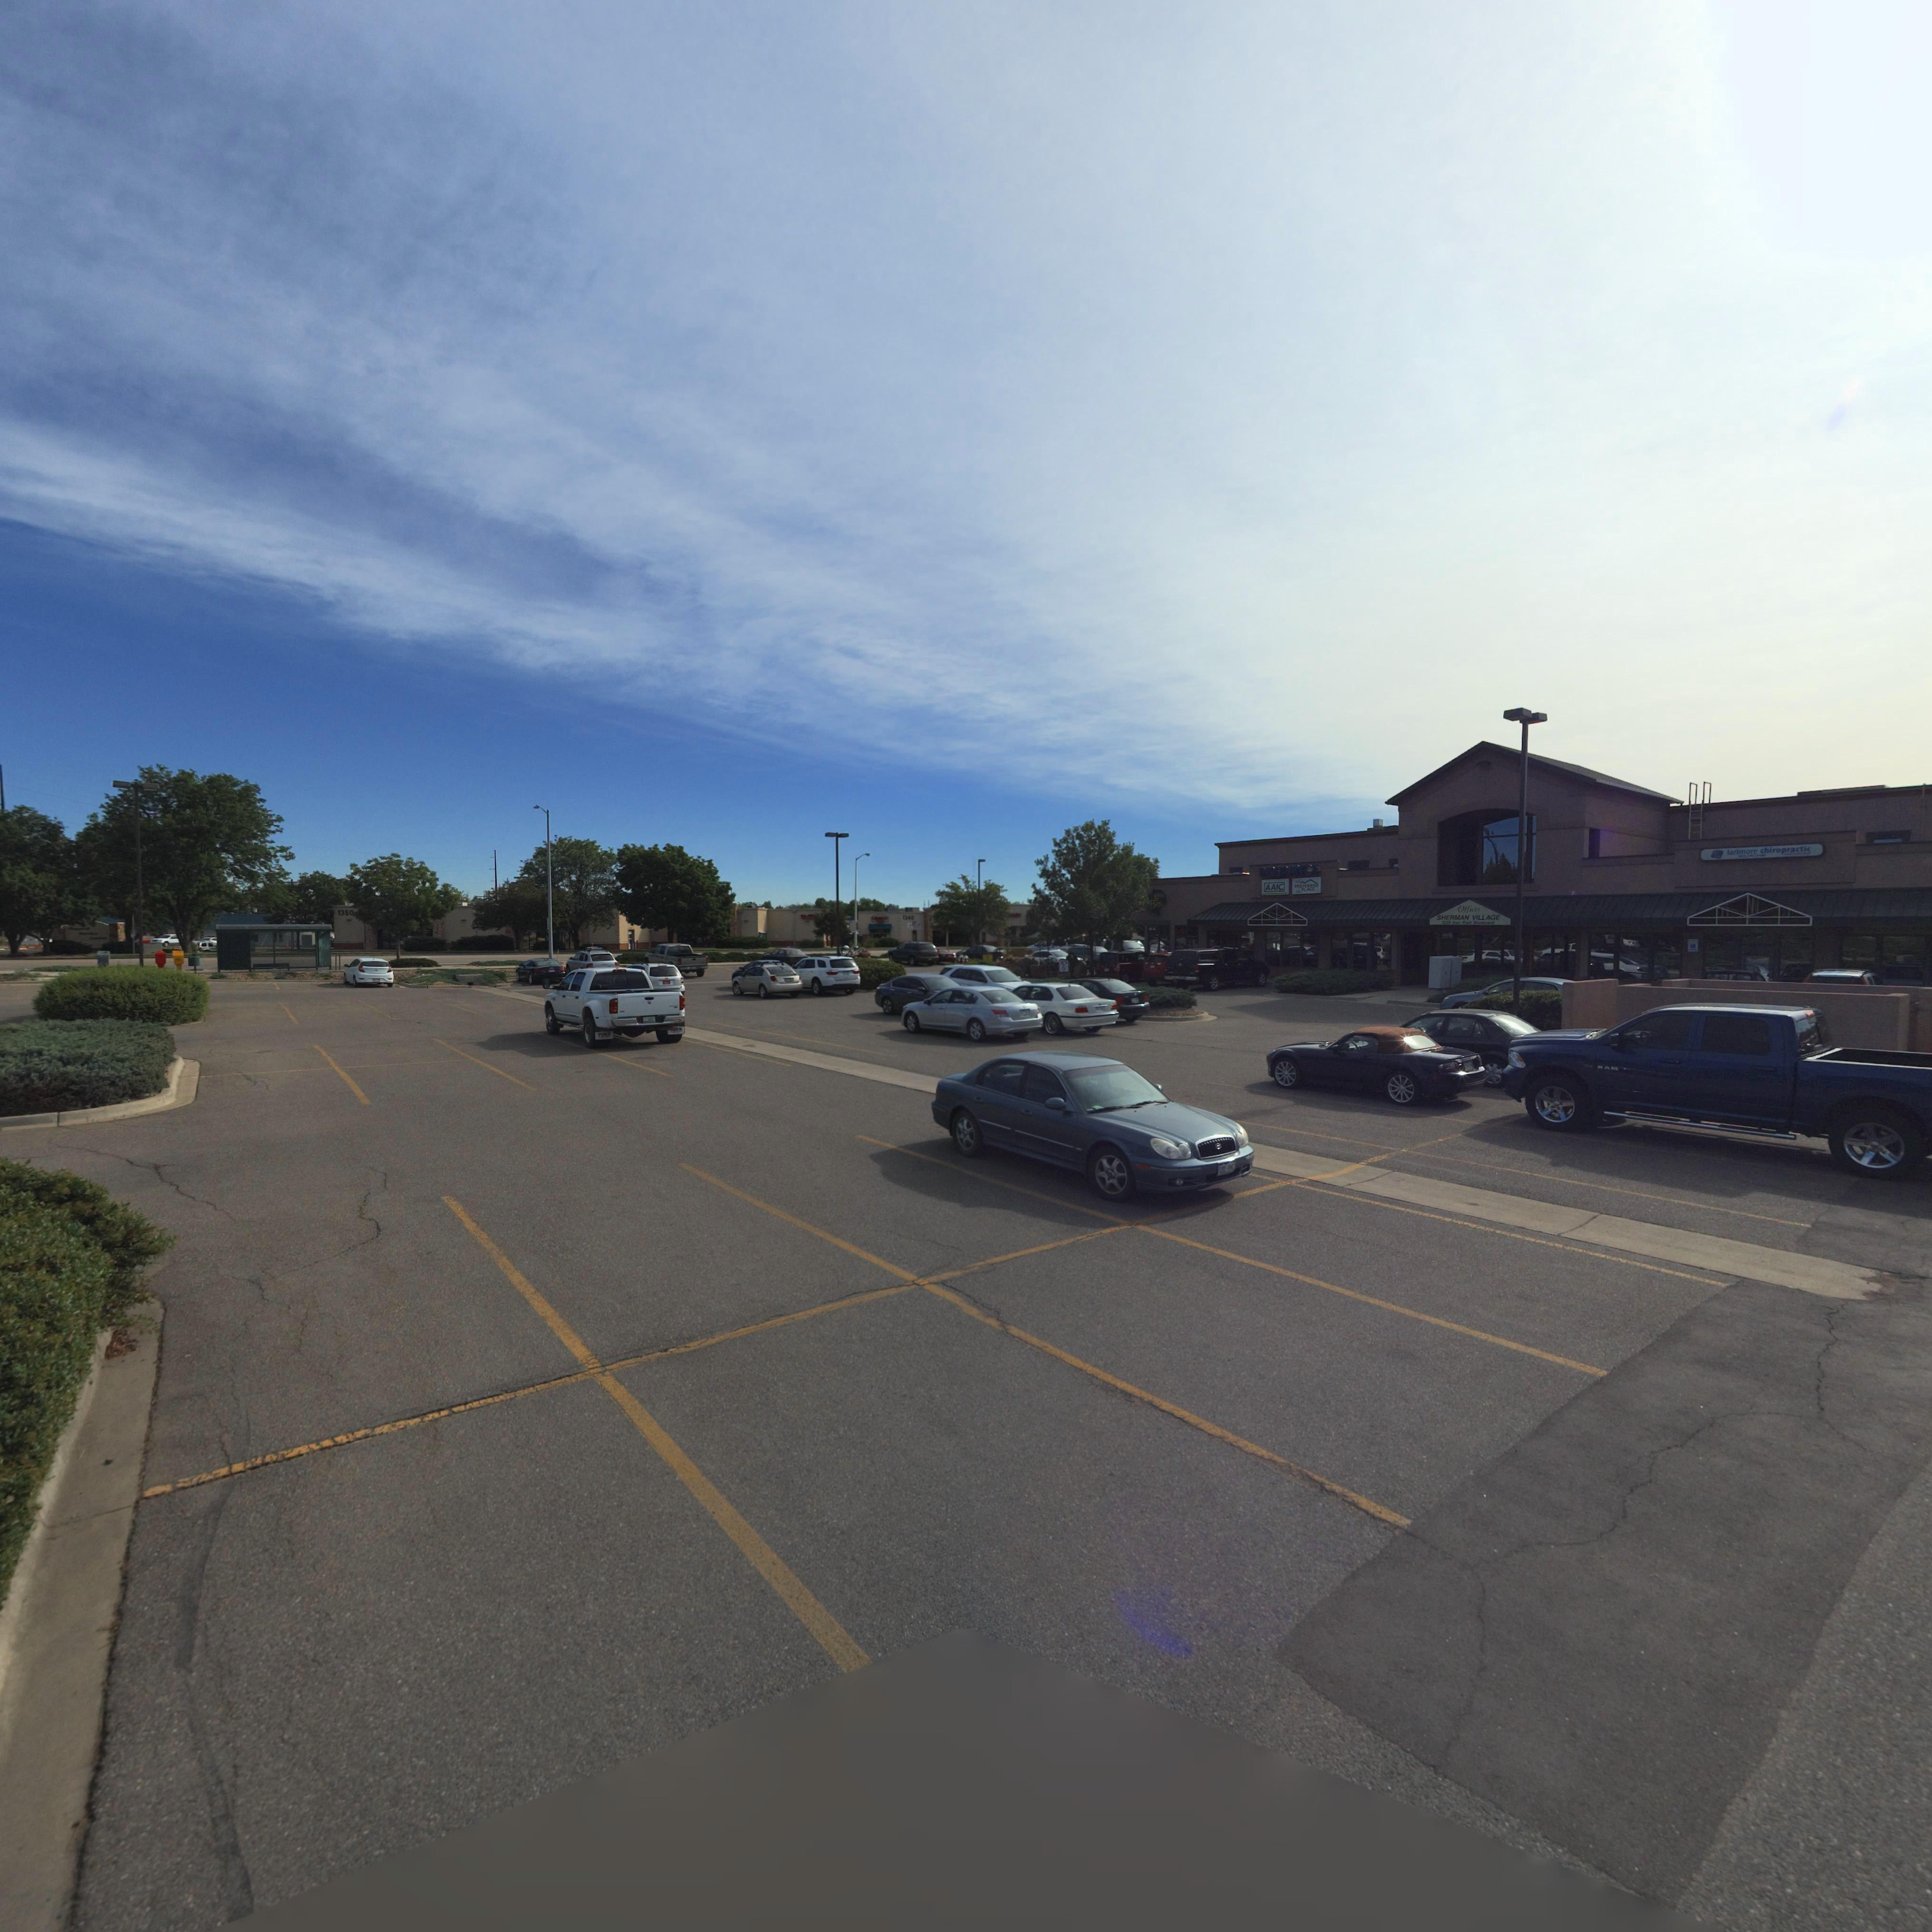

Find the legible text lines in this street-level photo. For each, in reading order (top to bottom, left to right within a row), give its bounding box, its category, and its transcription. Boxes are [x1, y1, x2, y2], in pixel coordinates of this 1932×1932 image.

[1727, 846, 1811, 855] BusinessName: larimore chiropractic
[1259, 863, 1318, 877] BusinessName: INSURANCE
[1265, 883, 1284, 890] BusinessName: AAIC
[1294, 884, 1318, 888] BusinessName: PREFERRED
[1301, 887, 1315, 891] BusinessName: PLACE
[1154, 894, 1159, 901] BusinessName: L*
[1150, 899, 1163, 908] BusinessName: Peep
[338, 909, 354, 916] StreetNumber: 1350
[871, 916, 888, 920] BusinessName: L****TY
[902, 915, 914, 920] StreetNumber: 1240
[876, 920, 883, 923] BusinessName: TAX
[1441, 920, 1451, 924] StreetNumber: 122*
[1452, 920, 1496, 925] StreetName: Ken Pratt Boulevard